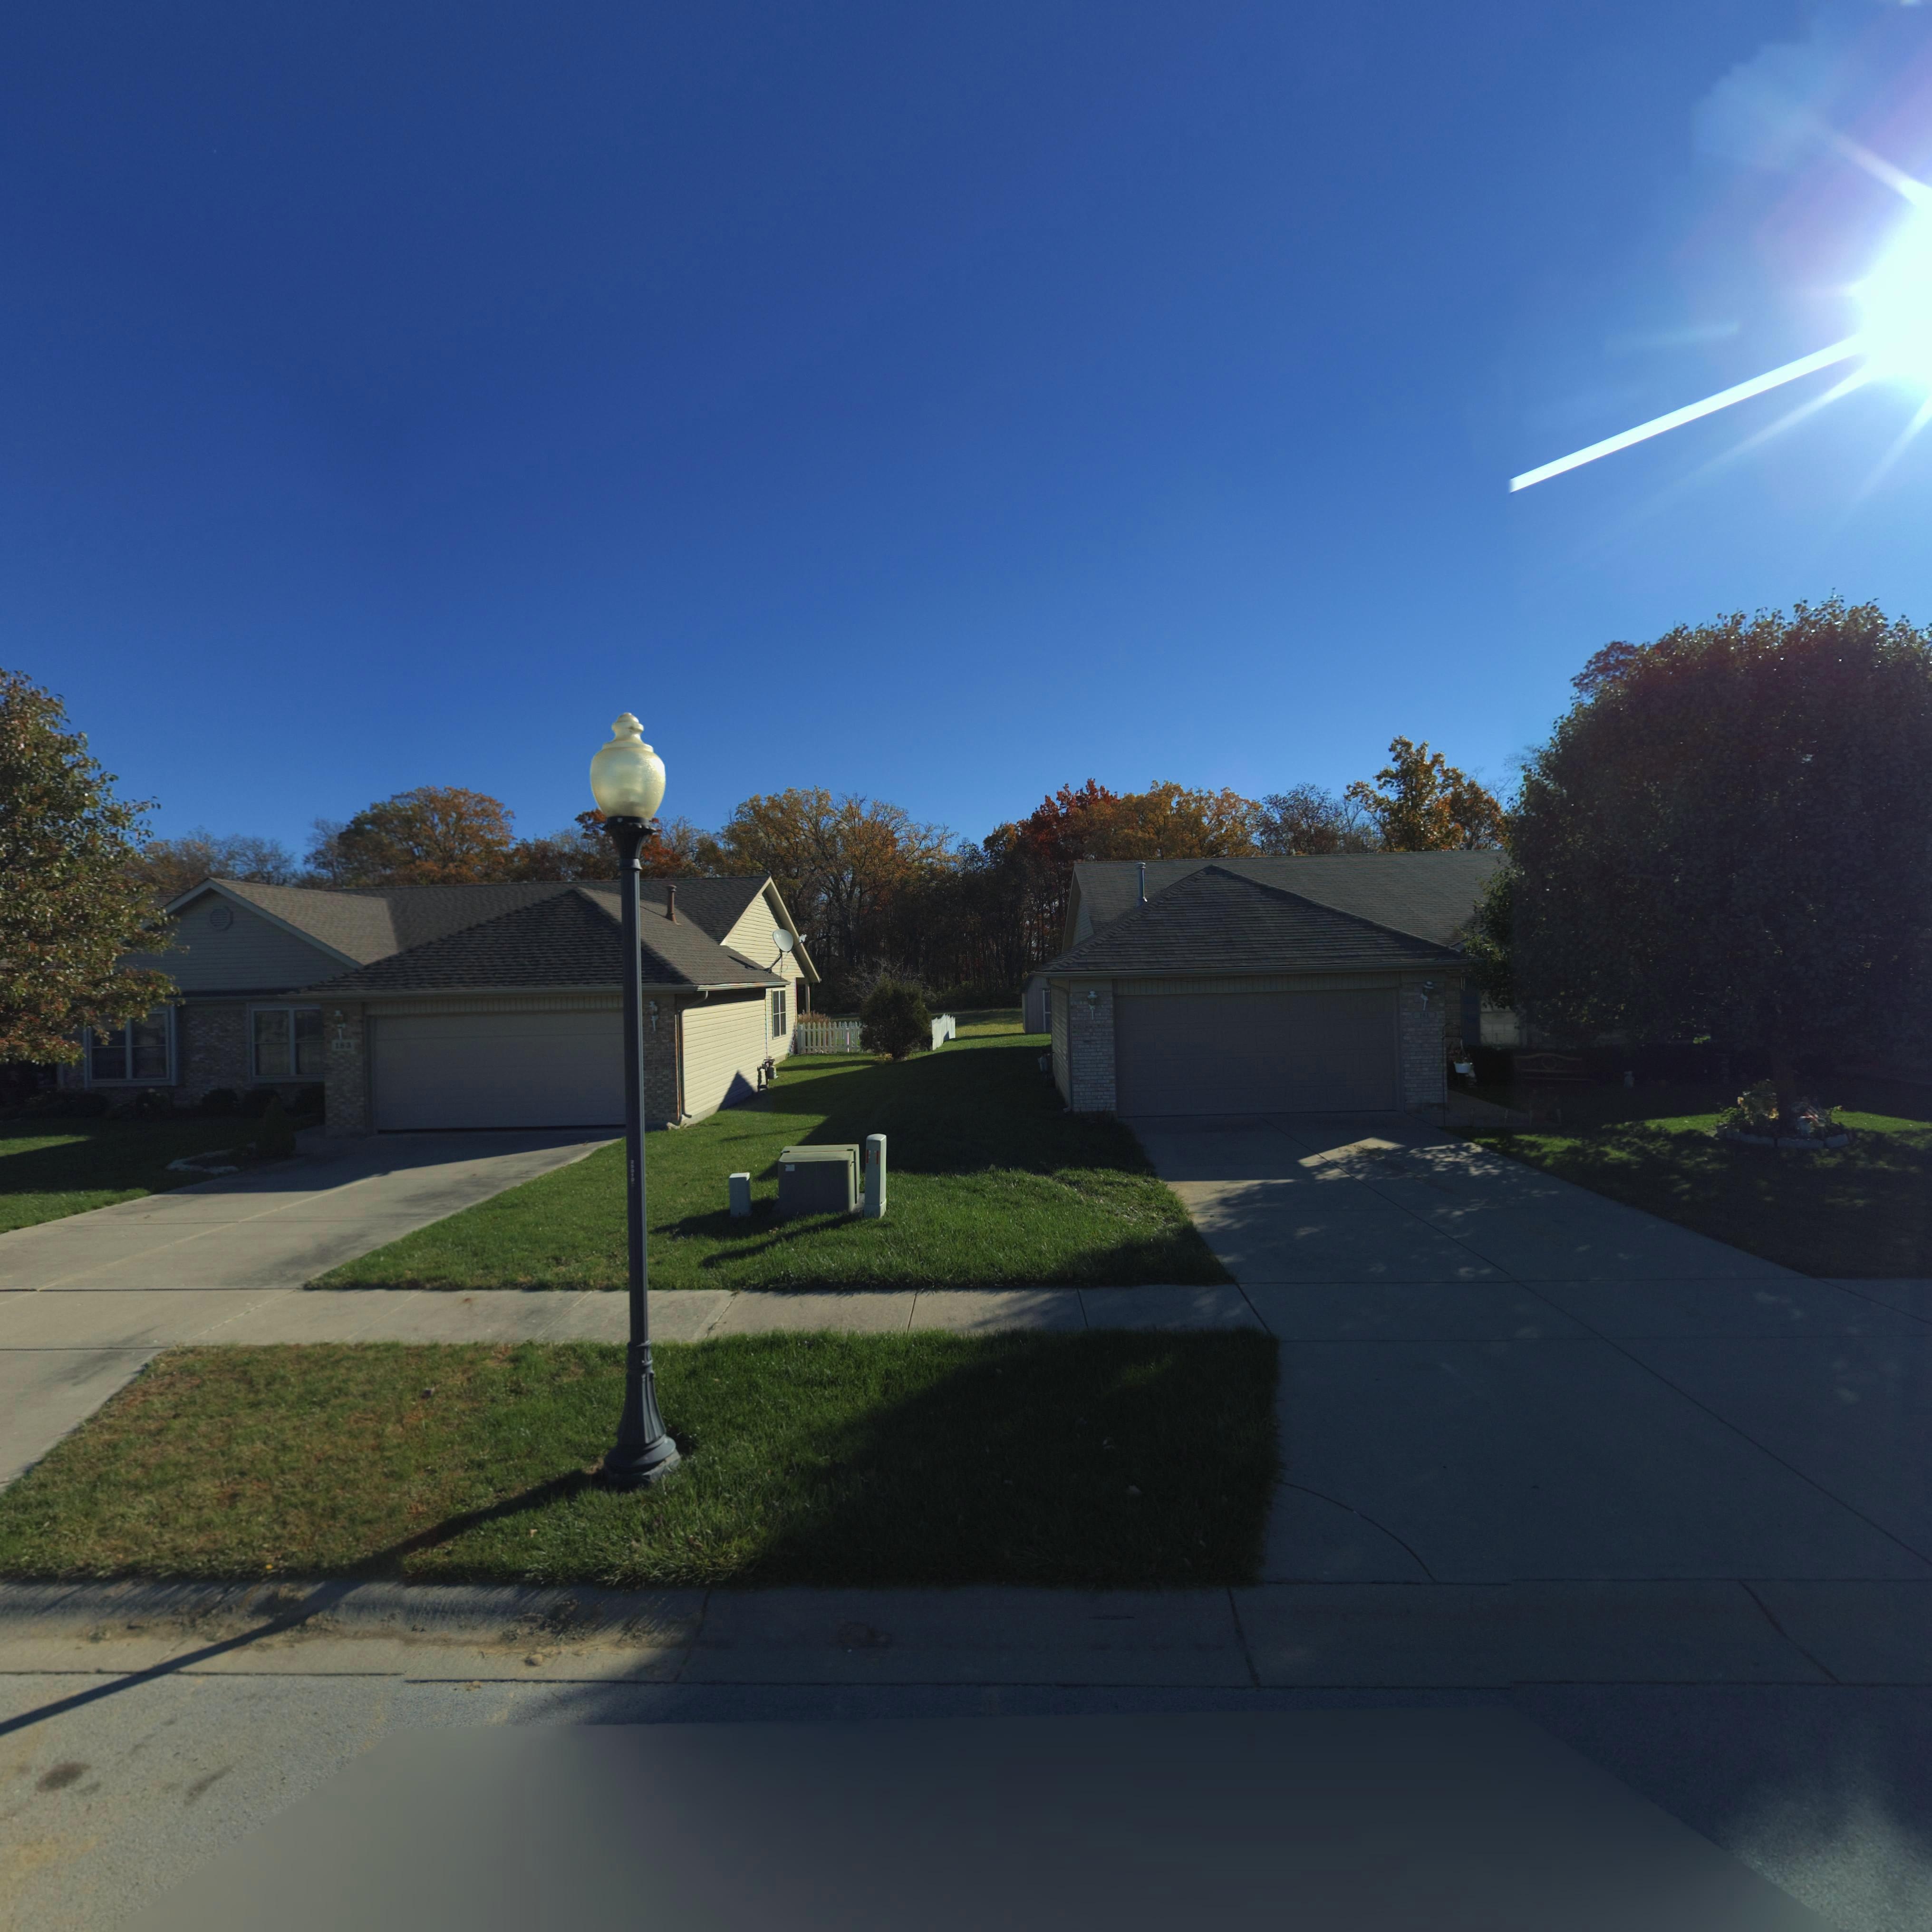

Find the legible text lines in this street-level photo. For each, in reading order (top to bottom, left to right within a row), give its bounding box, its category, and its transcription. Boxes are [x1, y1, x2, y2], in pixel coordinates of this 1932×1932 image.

[1419, 1012, 1430, 1019] StreetNumber: 181
[334, 1041, 352, 1050] StreetNumber: 183